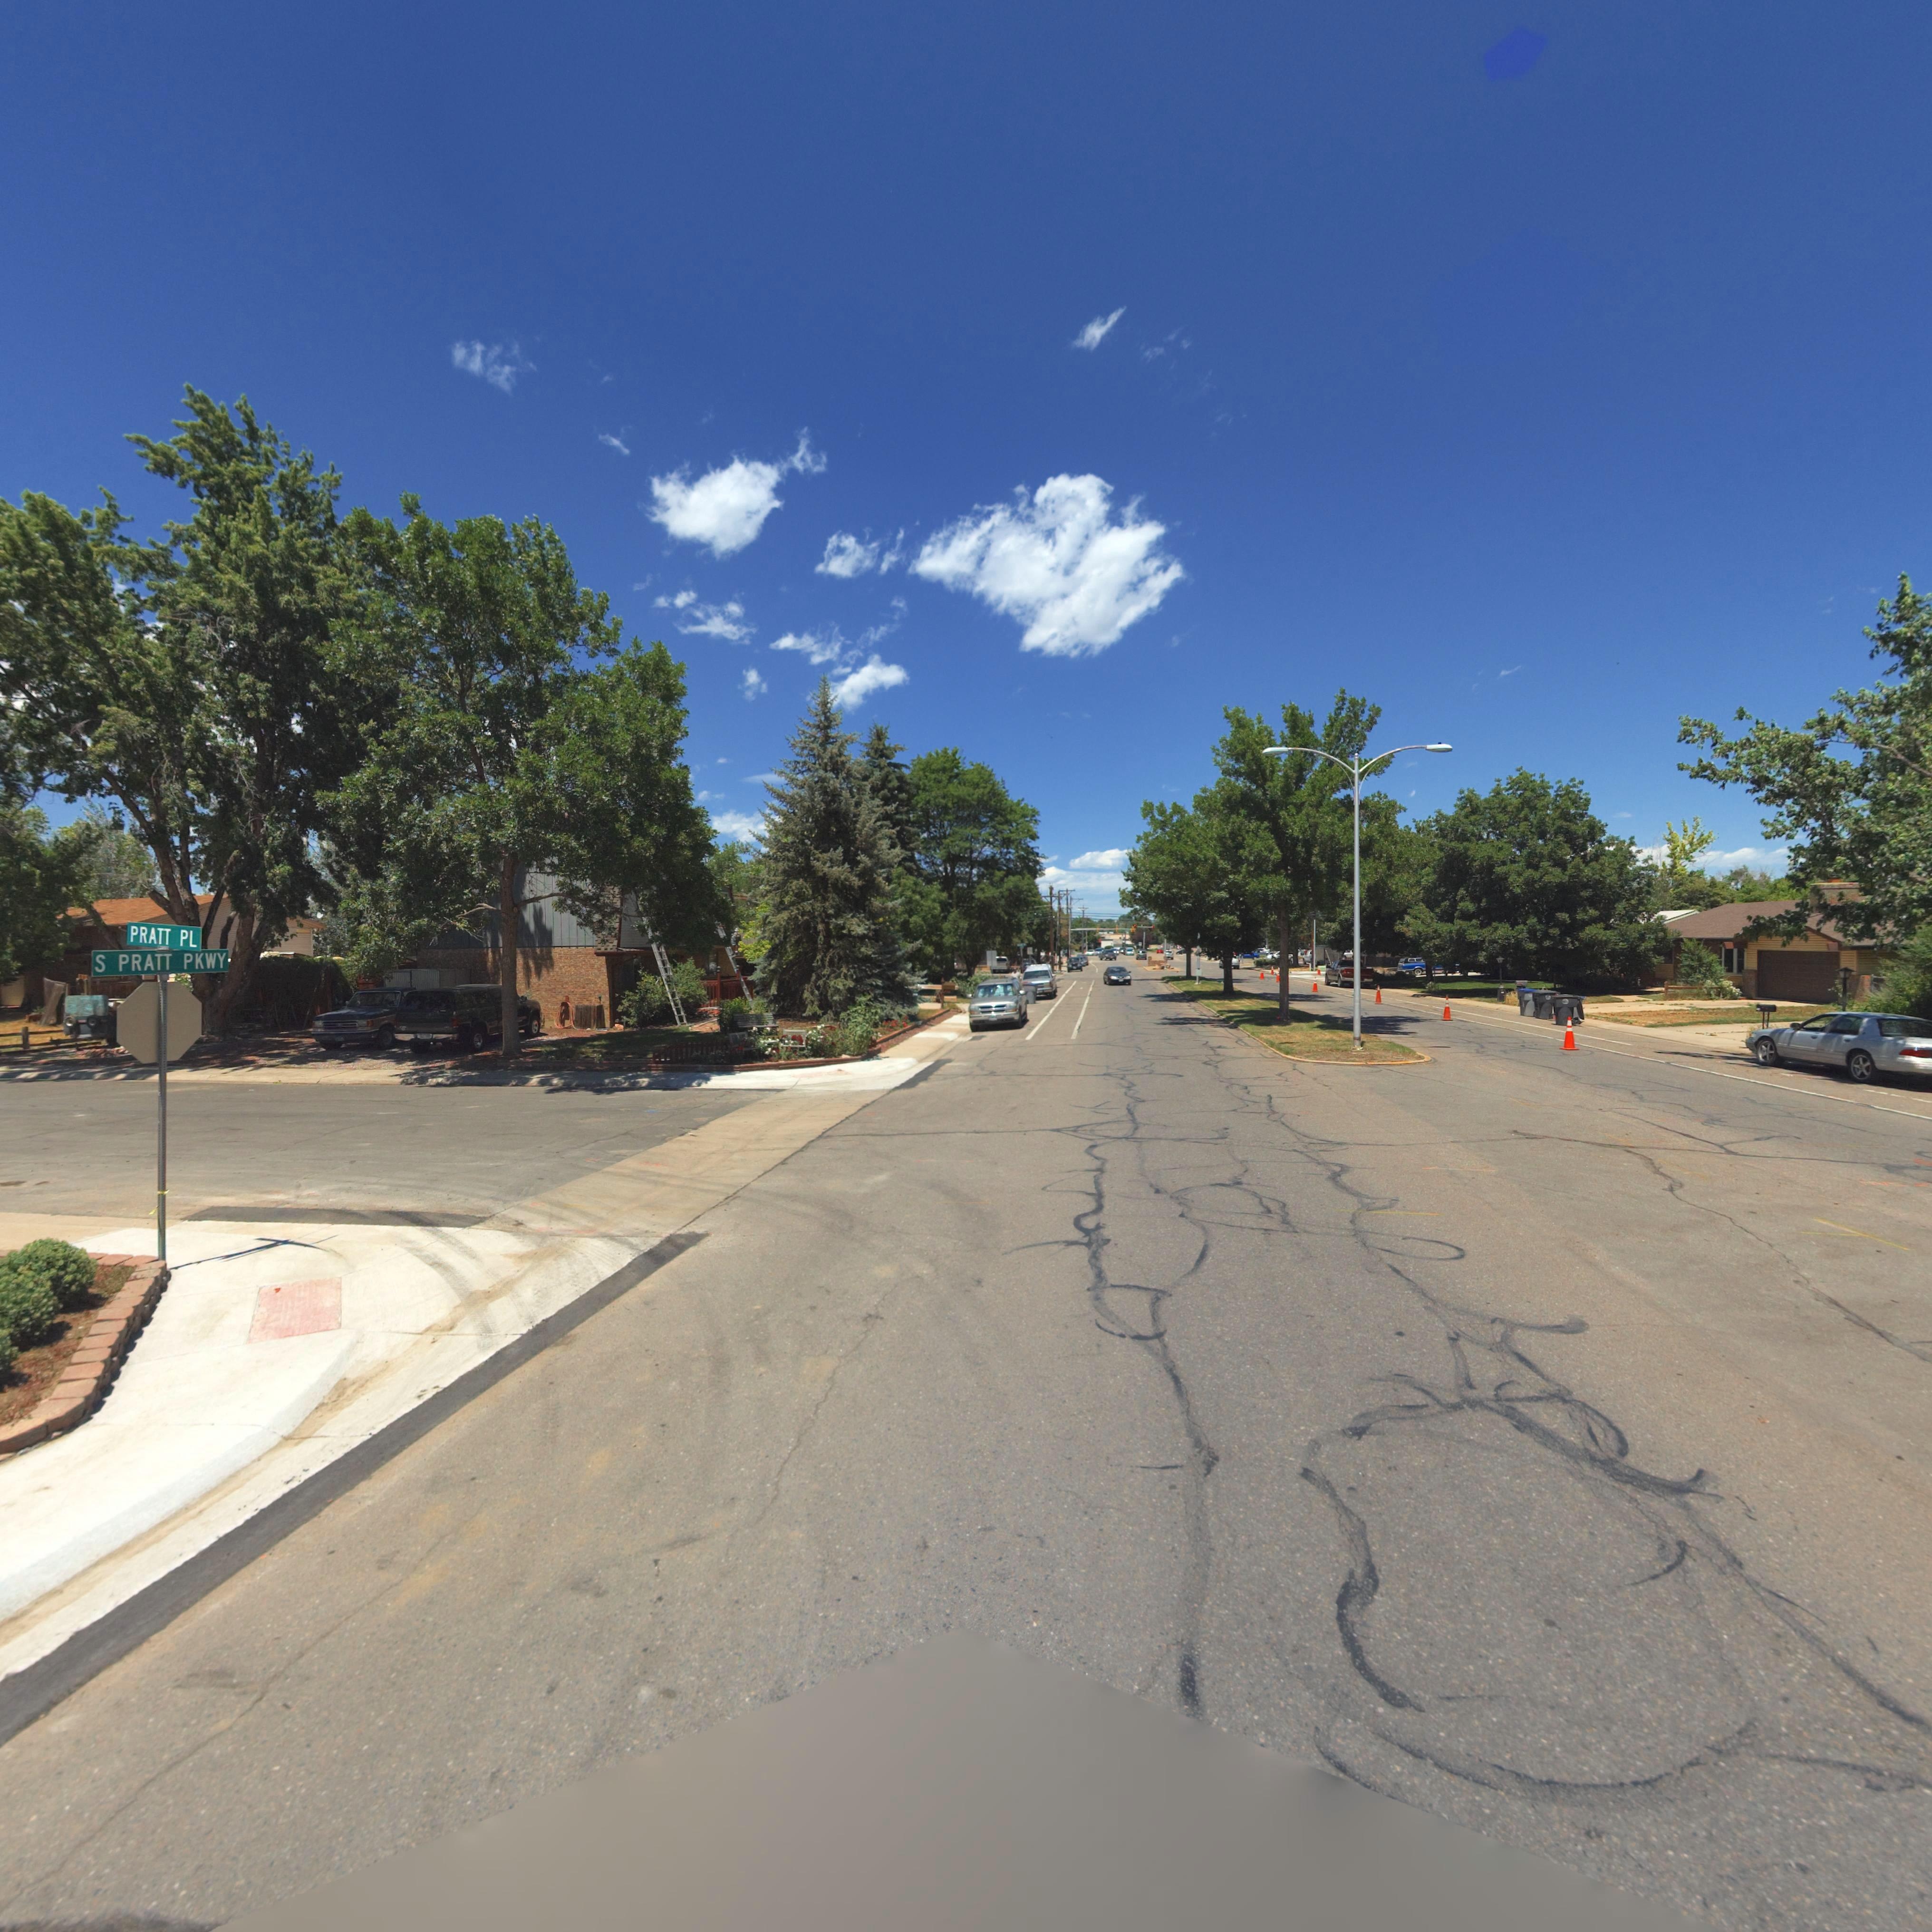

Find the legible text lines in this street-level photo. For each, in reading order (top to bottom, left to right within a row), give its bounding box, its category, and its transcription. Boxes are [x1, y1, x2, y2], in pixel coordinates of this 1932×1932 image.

[128, 924, 198, 948] StreetName: PRATT PL
[93, 952, 227, 973] StreetName: S PRATT PKWY